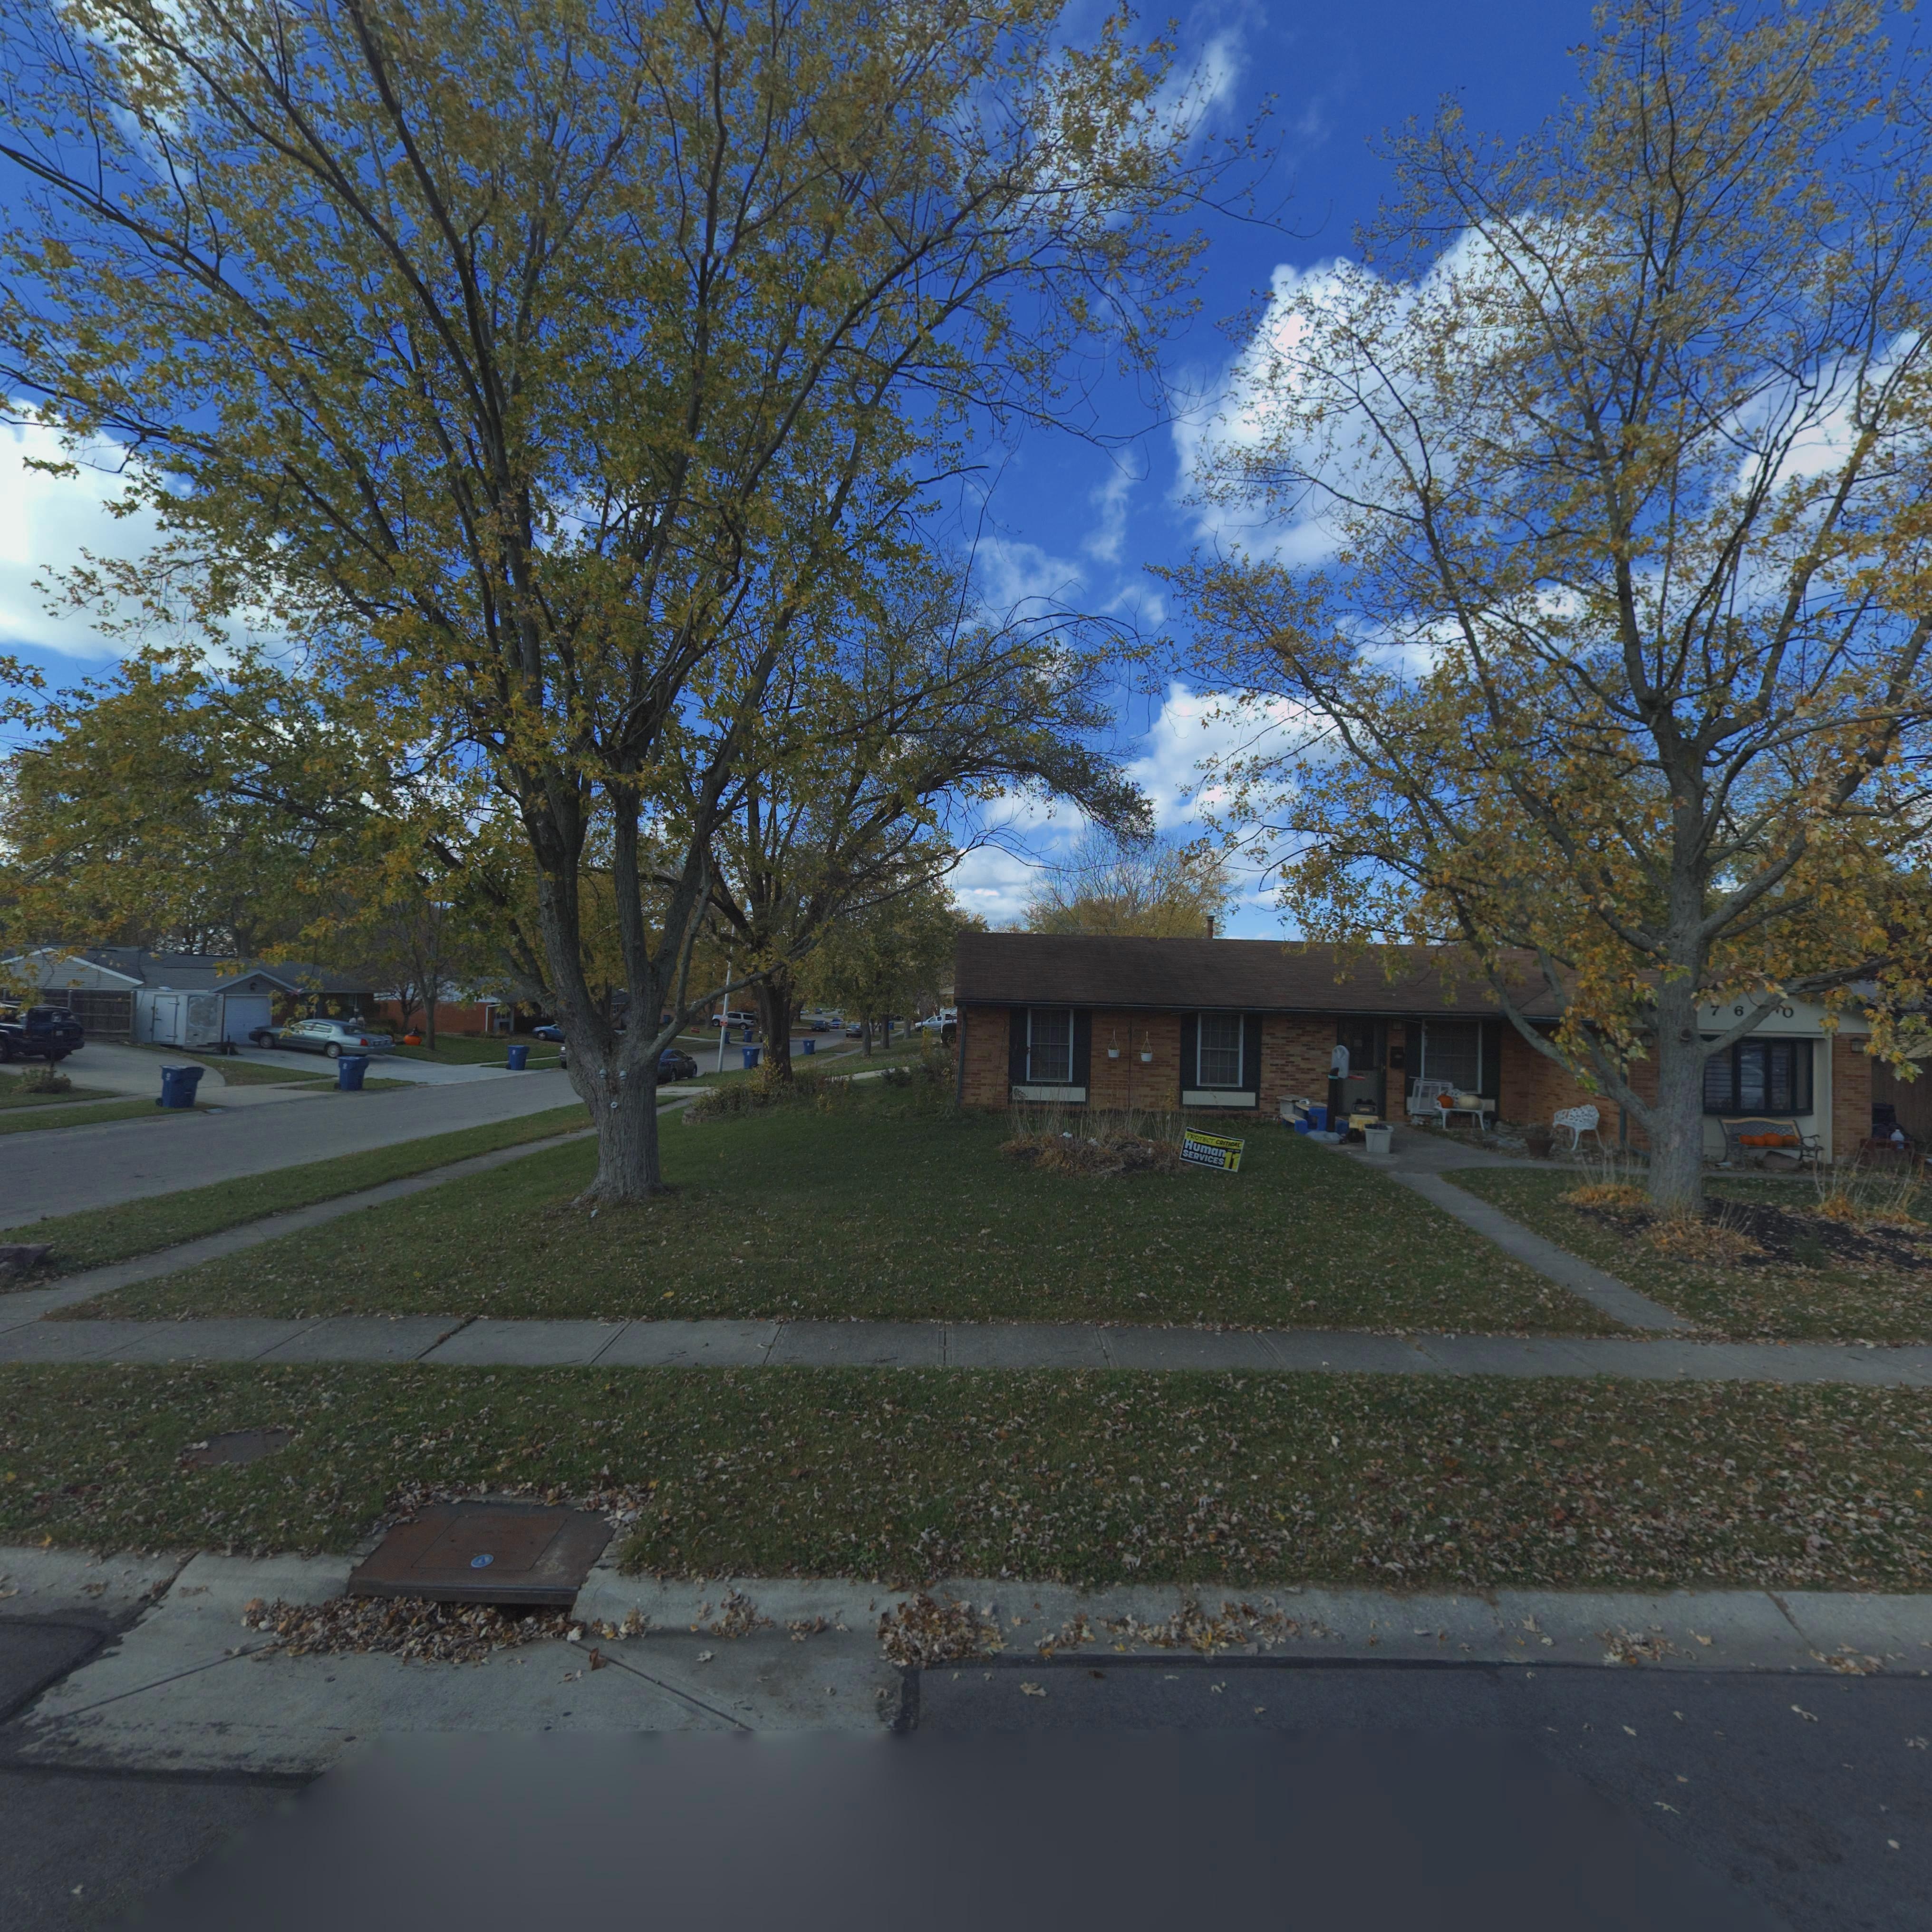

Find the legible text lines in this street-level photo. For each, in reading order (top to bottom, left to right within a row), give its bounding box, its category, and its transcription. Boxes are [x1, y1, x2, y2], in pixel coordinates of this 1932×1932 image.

[1710, 1005, 1795, 1019] StreetNumber: 76*0